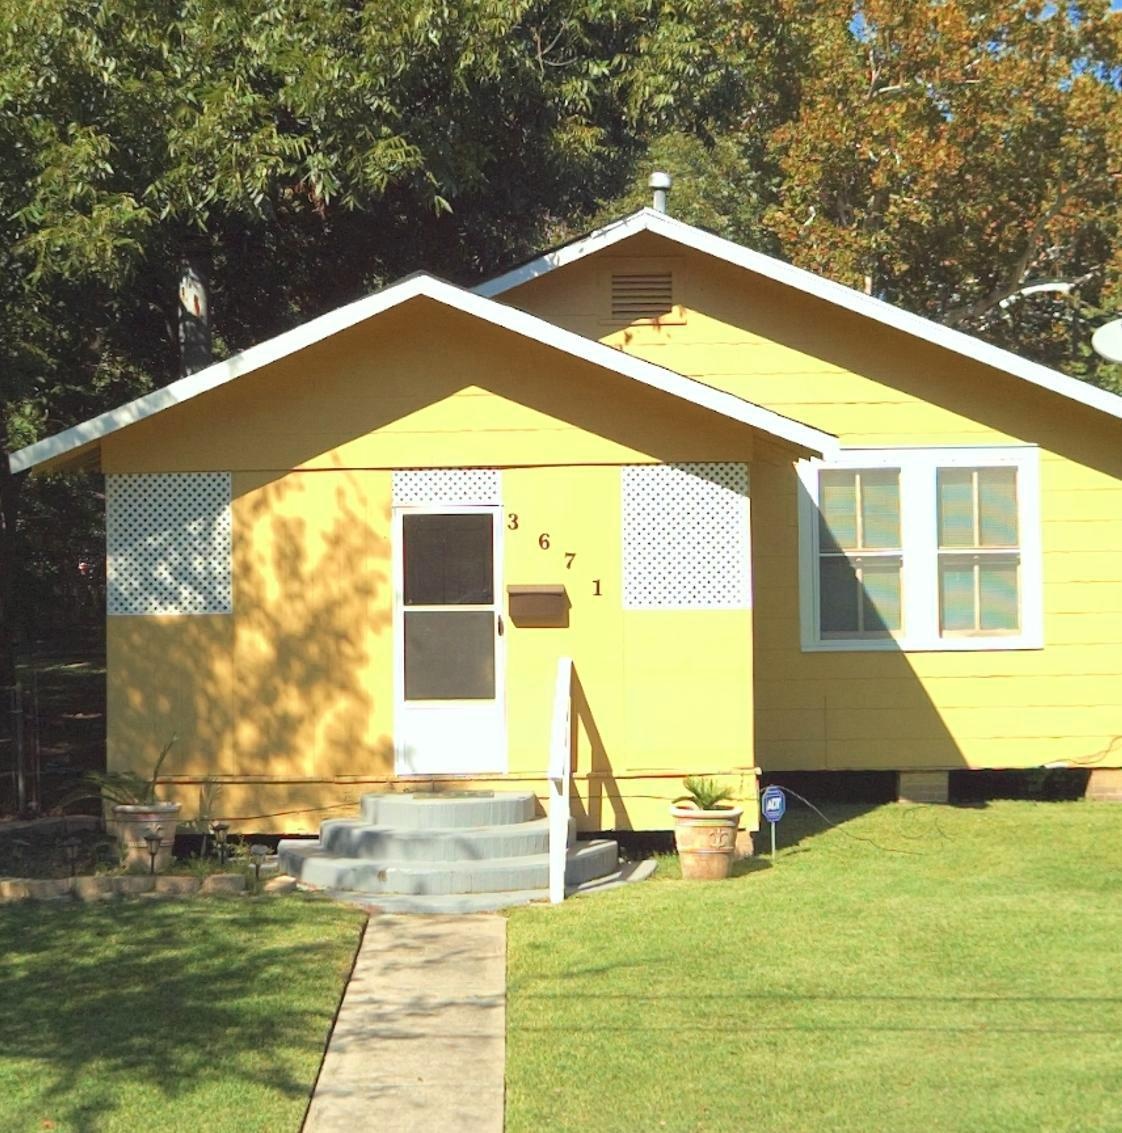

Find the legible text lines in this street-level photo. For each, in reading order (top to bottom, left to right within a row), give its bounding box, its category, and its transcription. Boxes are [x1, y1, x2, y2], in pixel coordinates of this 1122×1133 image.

[504, 510, 605, 598] StreetNumber: 3671